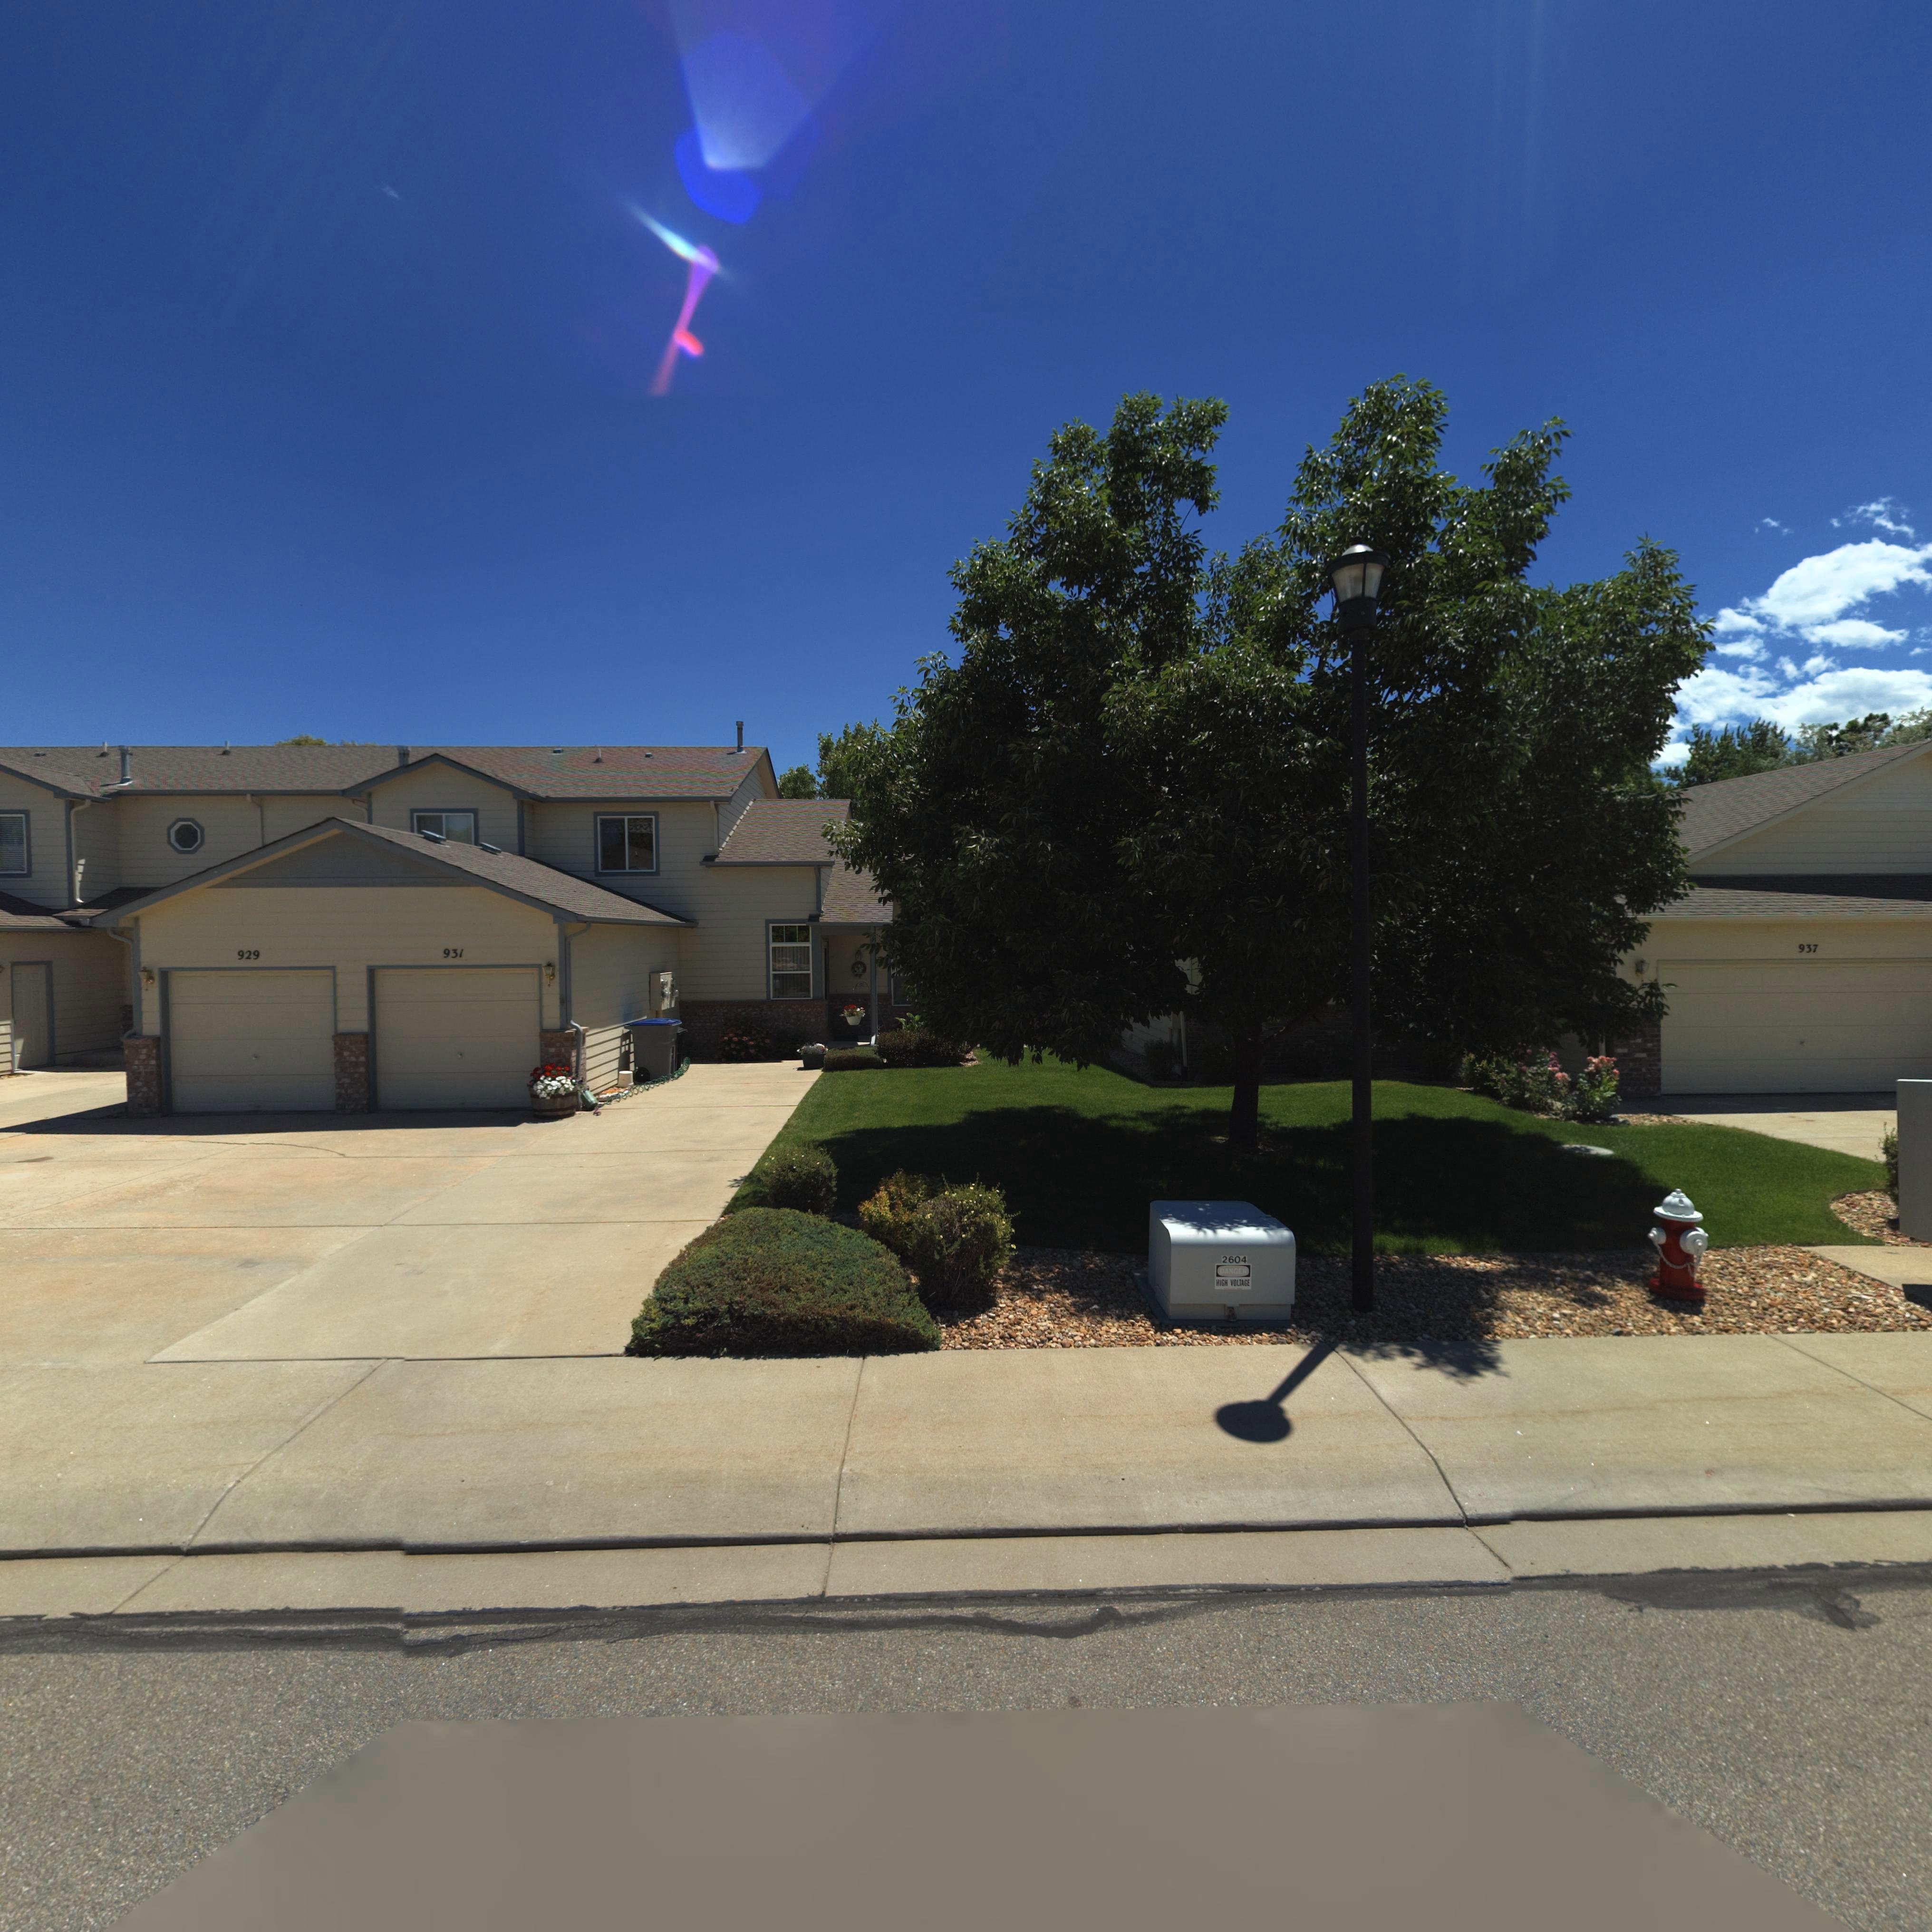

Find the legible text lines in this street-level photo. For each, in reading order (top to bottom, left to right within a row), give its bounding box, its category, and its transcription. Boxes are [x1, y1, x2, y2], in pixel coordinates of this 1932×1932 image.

[1798, 943, 1819, 953] StreetNumber: 937
[237, 949, 261, 960] StreetNumber: 929
[442, 948, 464, 958] StreetNumber: 931